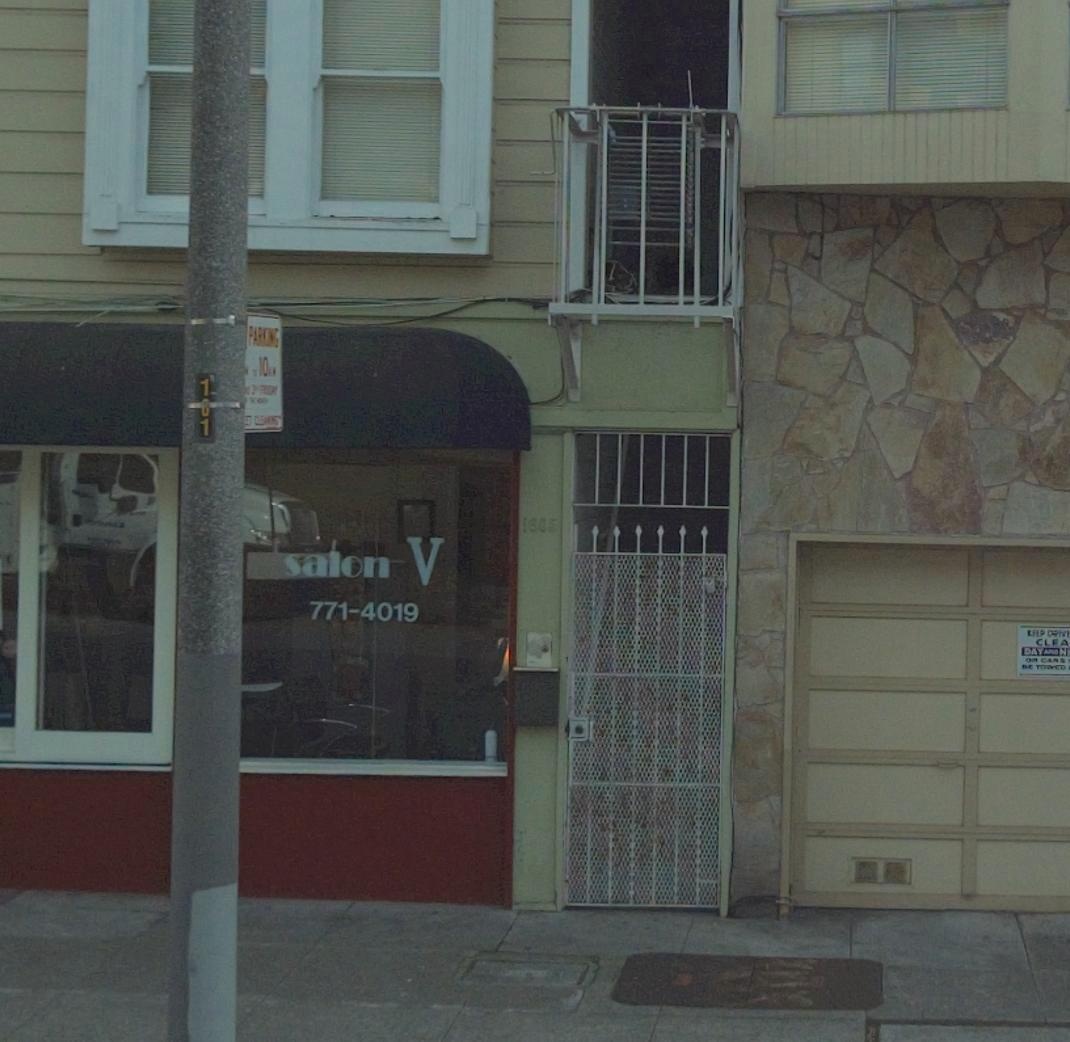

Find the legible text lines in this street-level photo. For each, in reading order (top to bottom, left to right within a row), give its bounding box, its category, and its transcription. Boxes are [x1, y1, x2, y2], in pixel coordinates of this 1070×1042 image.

[246, 321, 261, 349] None: PA
[255, 353, 272, 381] None: 10
[198, 376, 213, 439] None: 1*1
[519, 516, 560, 536] StreetNumber: 1605
[280, 532, 449, 590] BusinessName: salon V
[306, 599, 422, 626] None: 771-4019
[1022, 645, 1068, 657] None: DAY *** N
[1034, 636, 1070, 648] None: CLEA